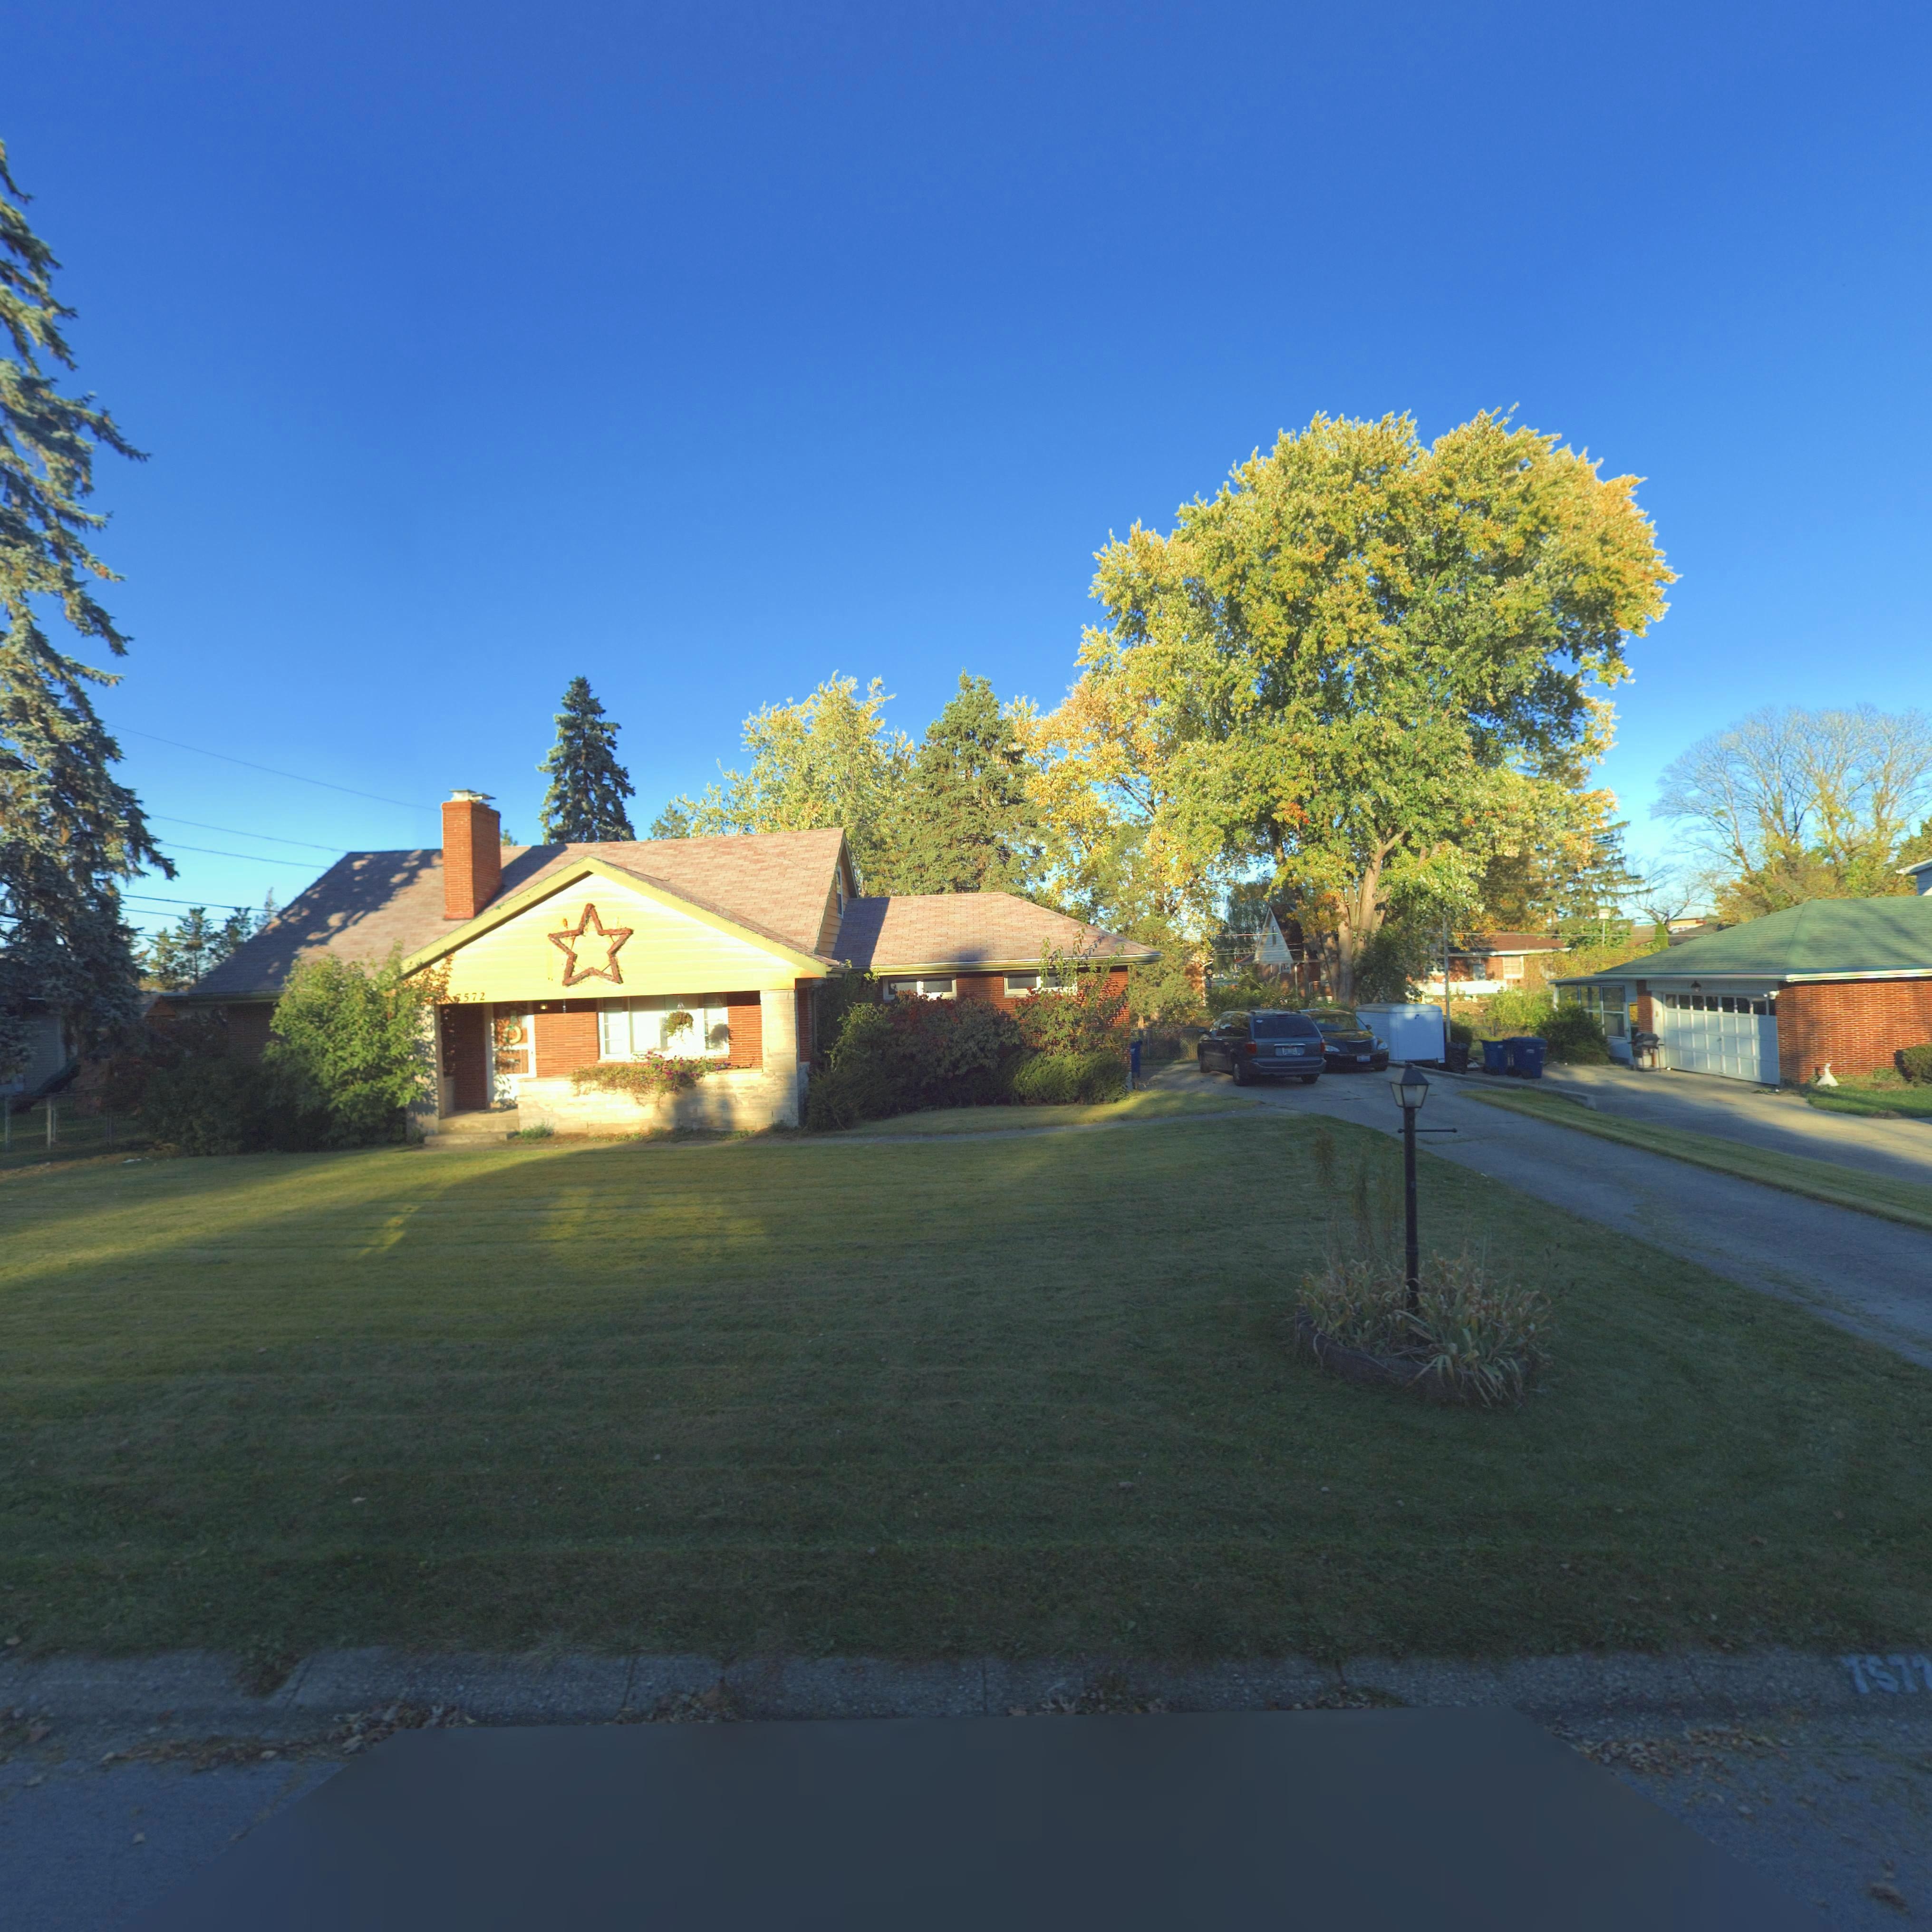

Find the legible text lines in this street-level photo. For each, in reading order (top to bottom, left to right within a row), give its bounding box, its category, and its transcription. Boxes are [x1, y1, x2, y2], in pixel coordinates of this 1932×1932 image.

[453, 990, 487, 1004] StreetNumber: 7572
[1836, 1652, 1924, 1697] StreetNumber: 757